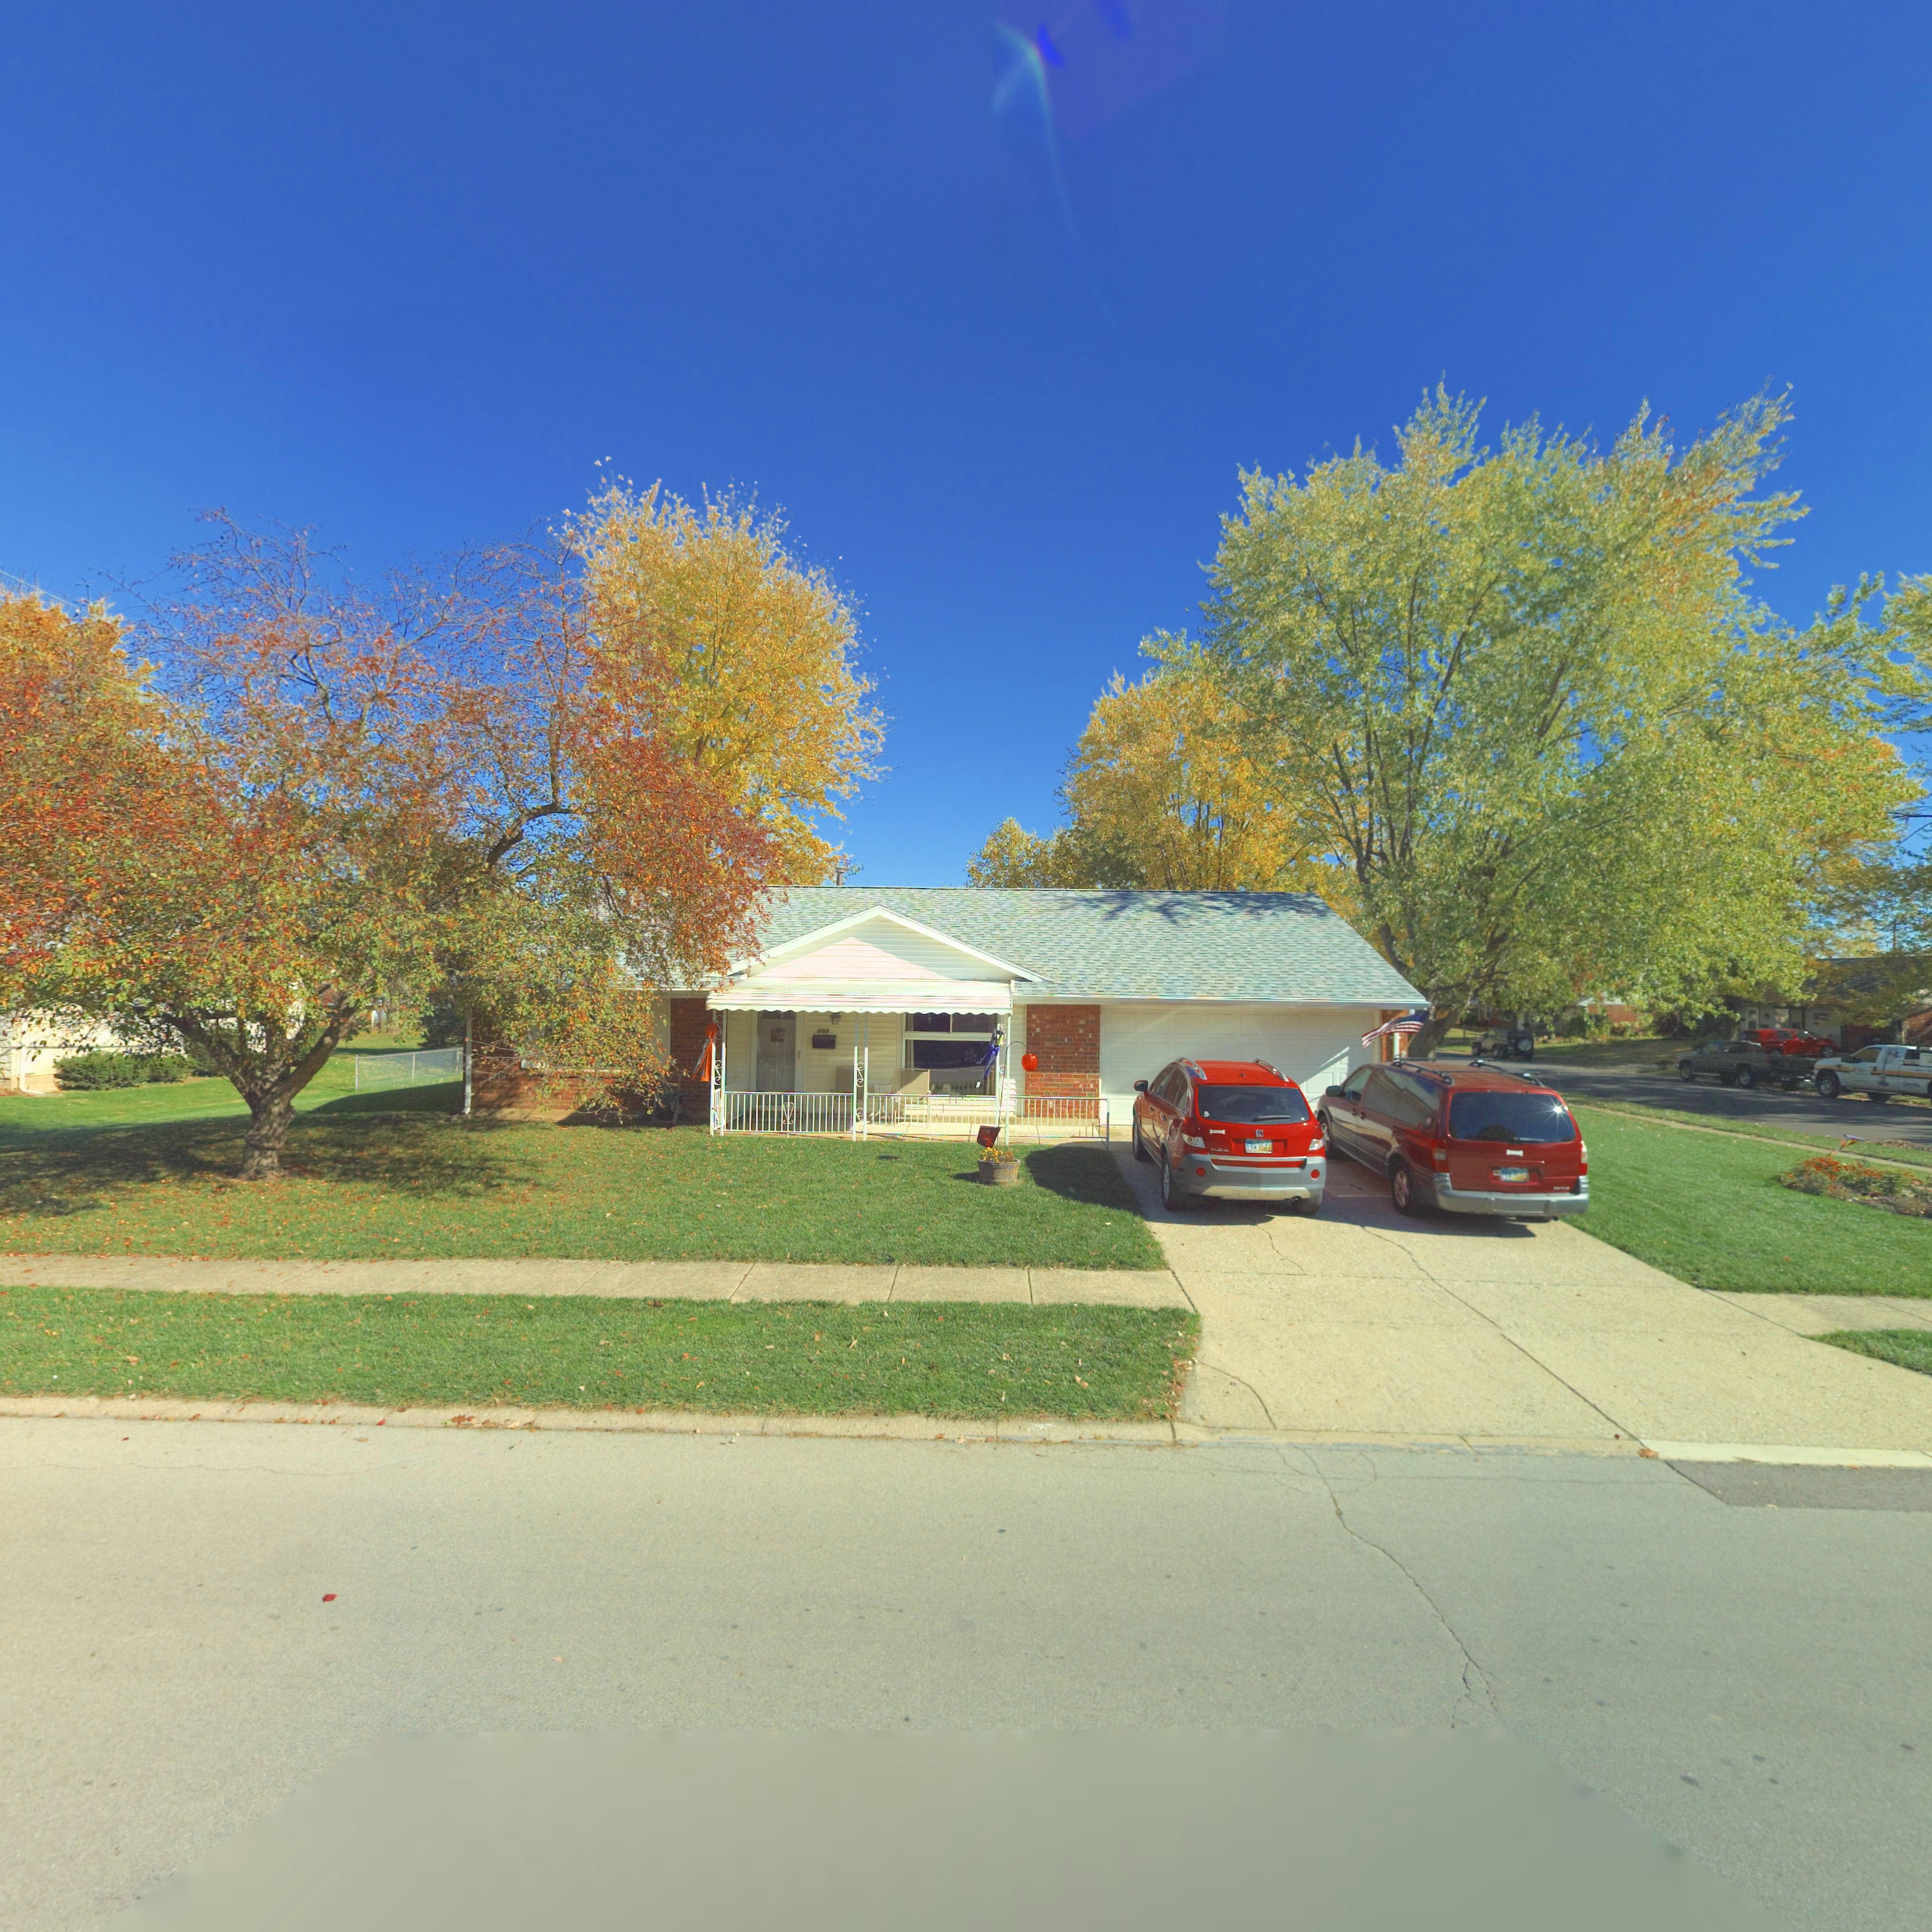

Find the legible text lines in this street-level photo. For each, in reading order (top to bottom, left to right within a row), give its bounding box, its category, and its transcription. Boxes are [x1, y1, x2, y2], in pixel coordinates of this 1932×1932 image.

[817, 1028, 830, 1034] StreetNumber: 608